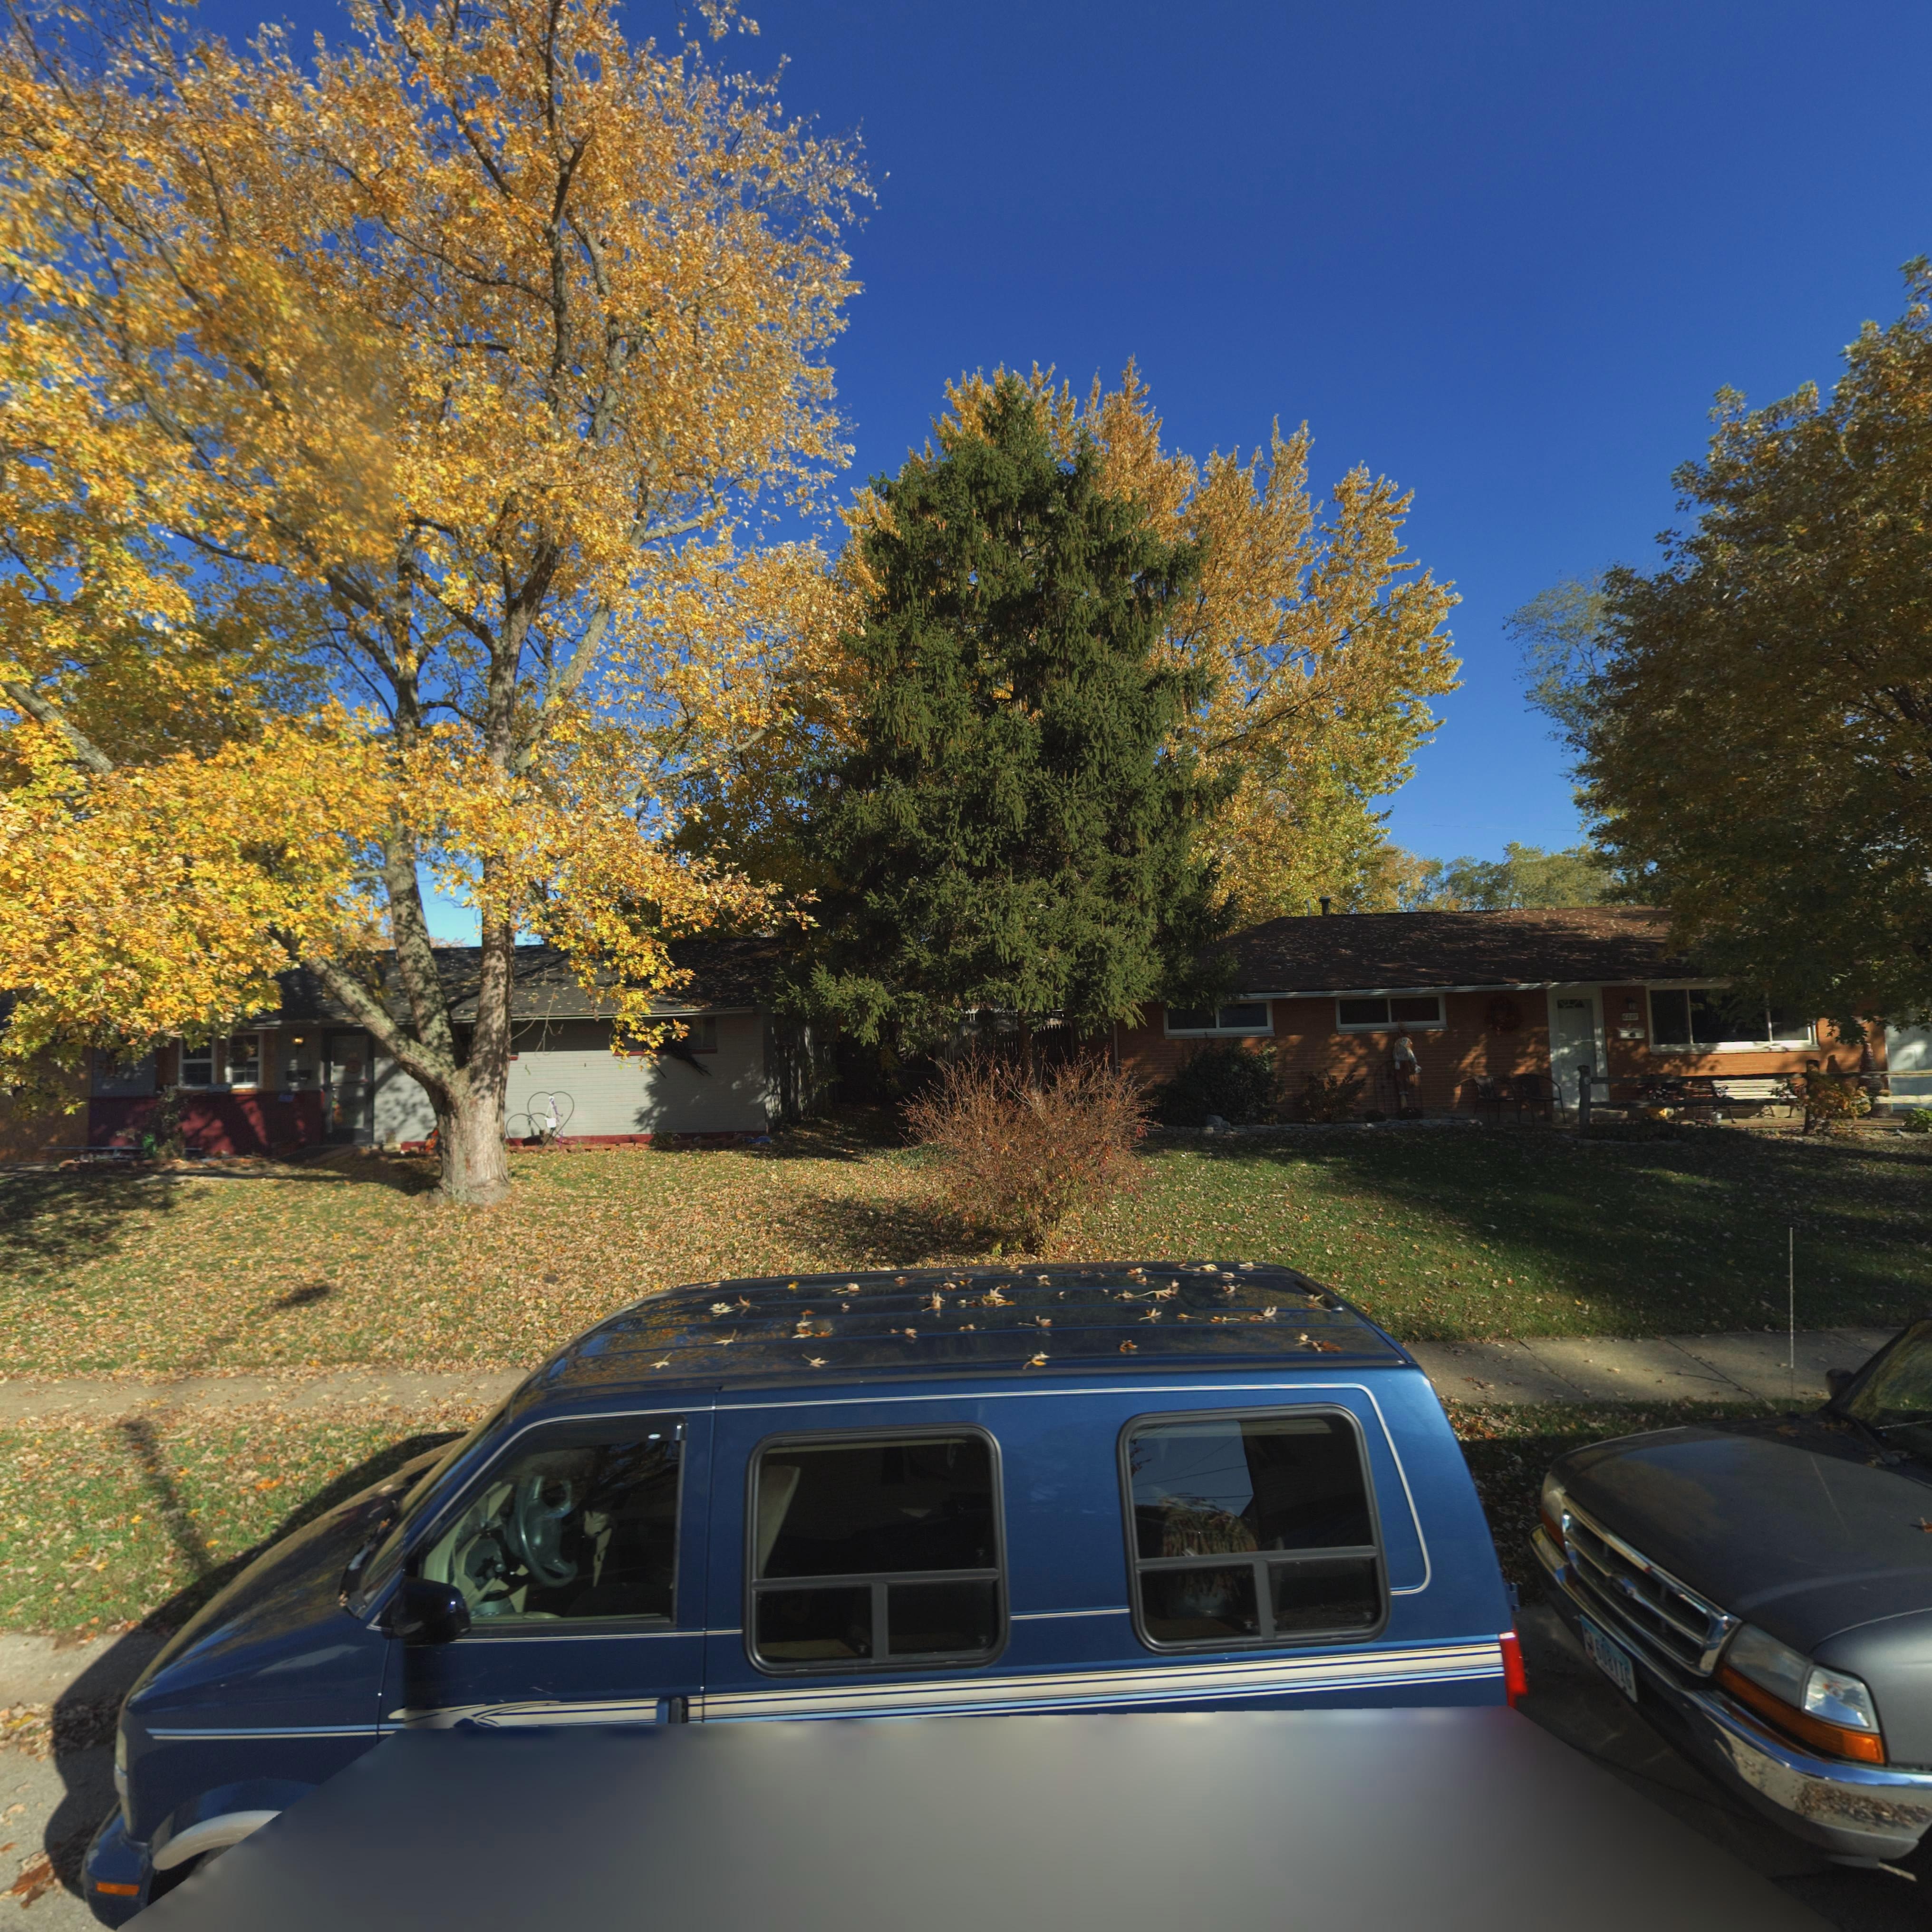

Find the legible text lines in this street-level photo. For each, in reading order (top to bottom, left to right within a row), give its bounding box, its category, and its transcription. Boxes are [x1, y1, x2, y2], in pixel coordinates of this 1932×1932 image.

[1622, 1014, 1639, 1020] StreetNumber: 6207